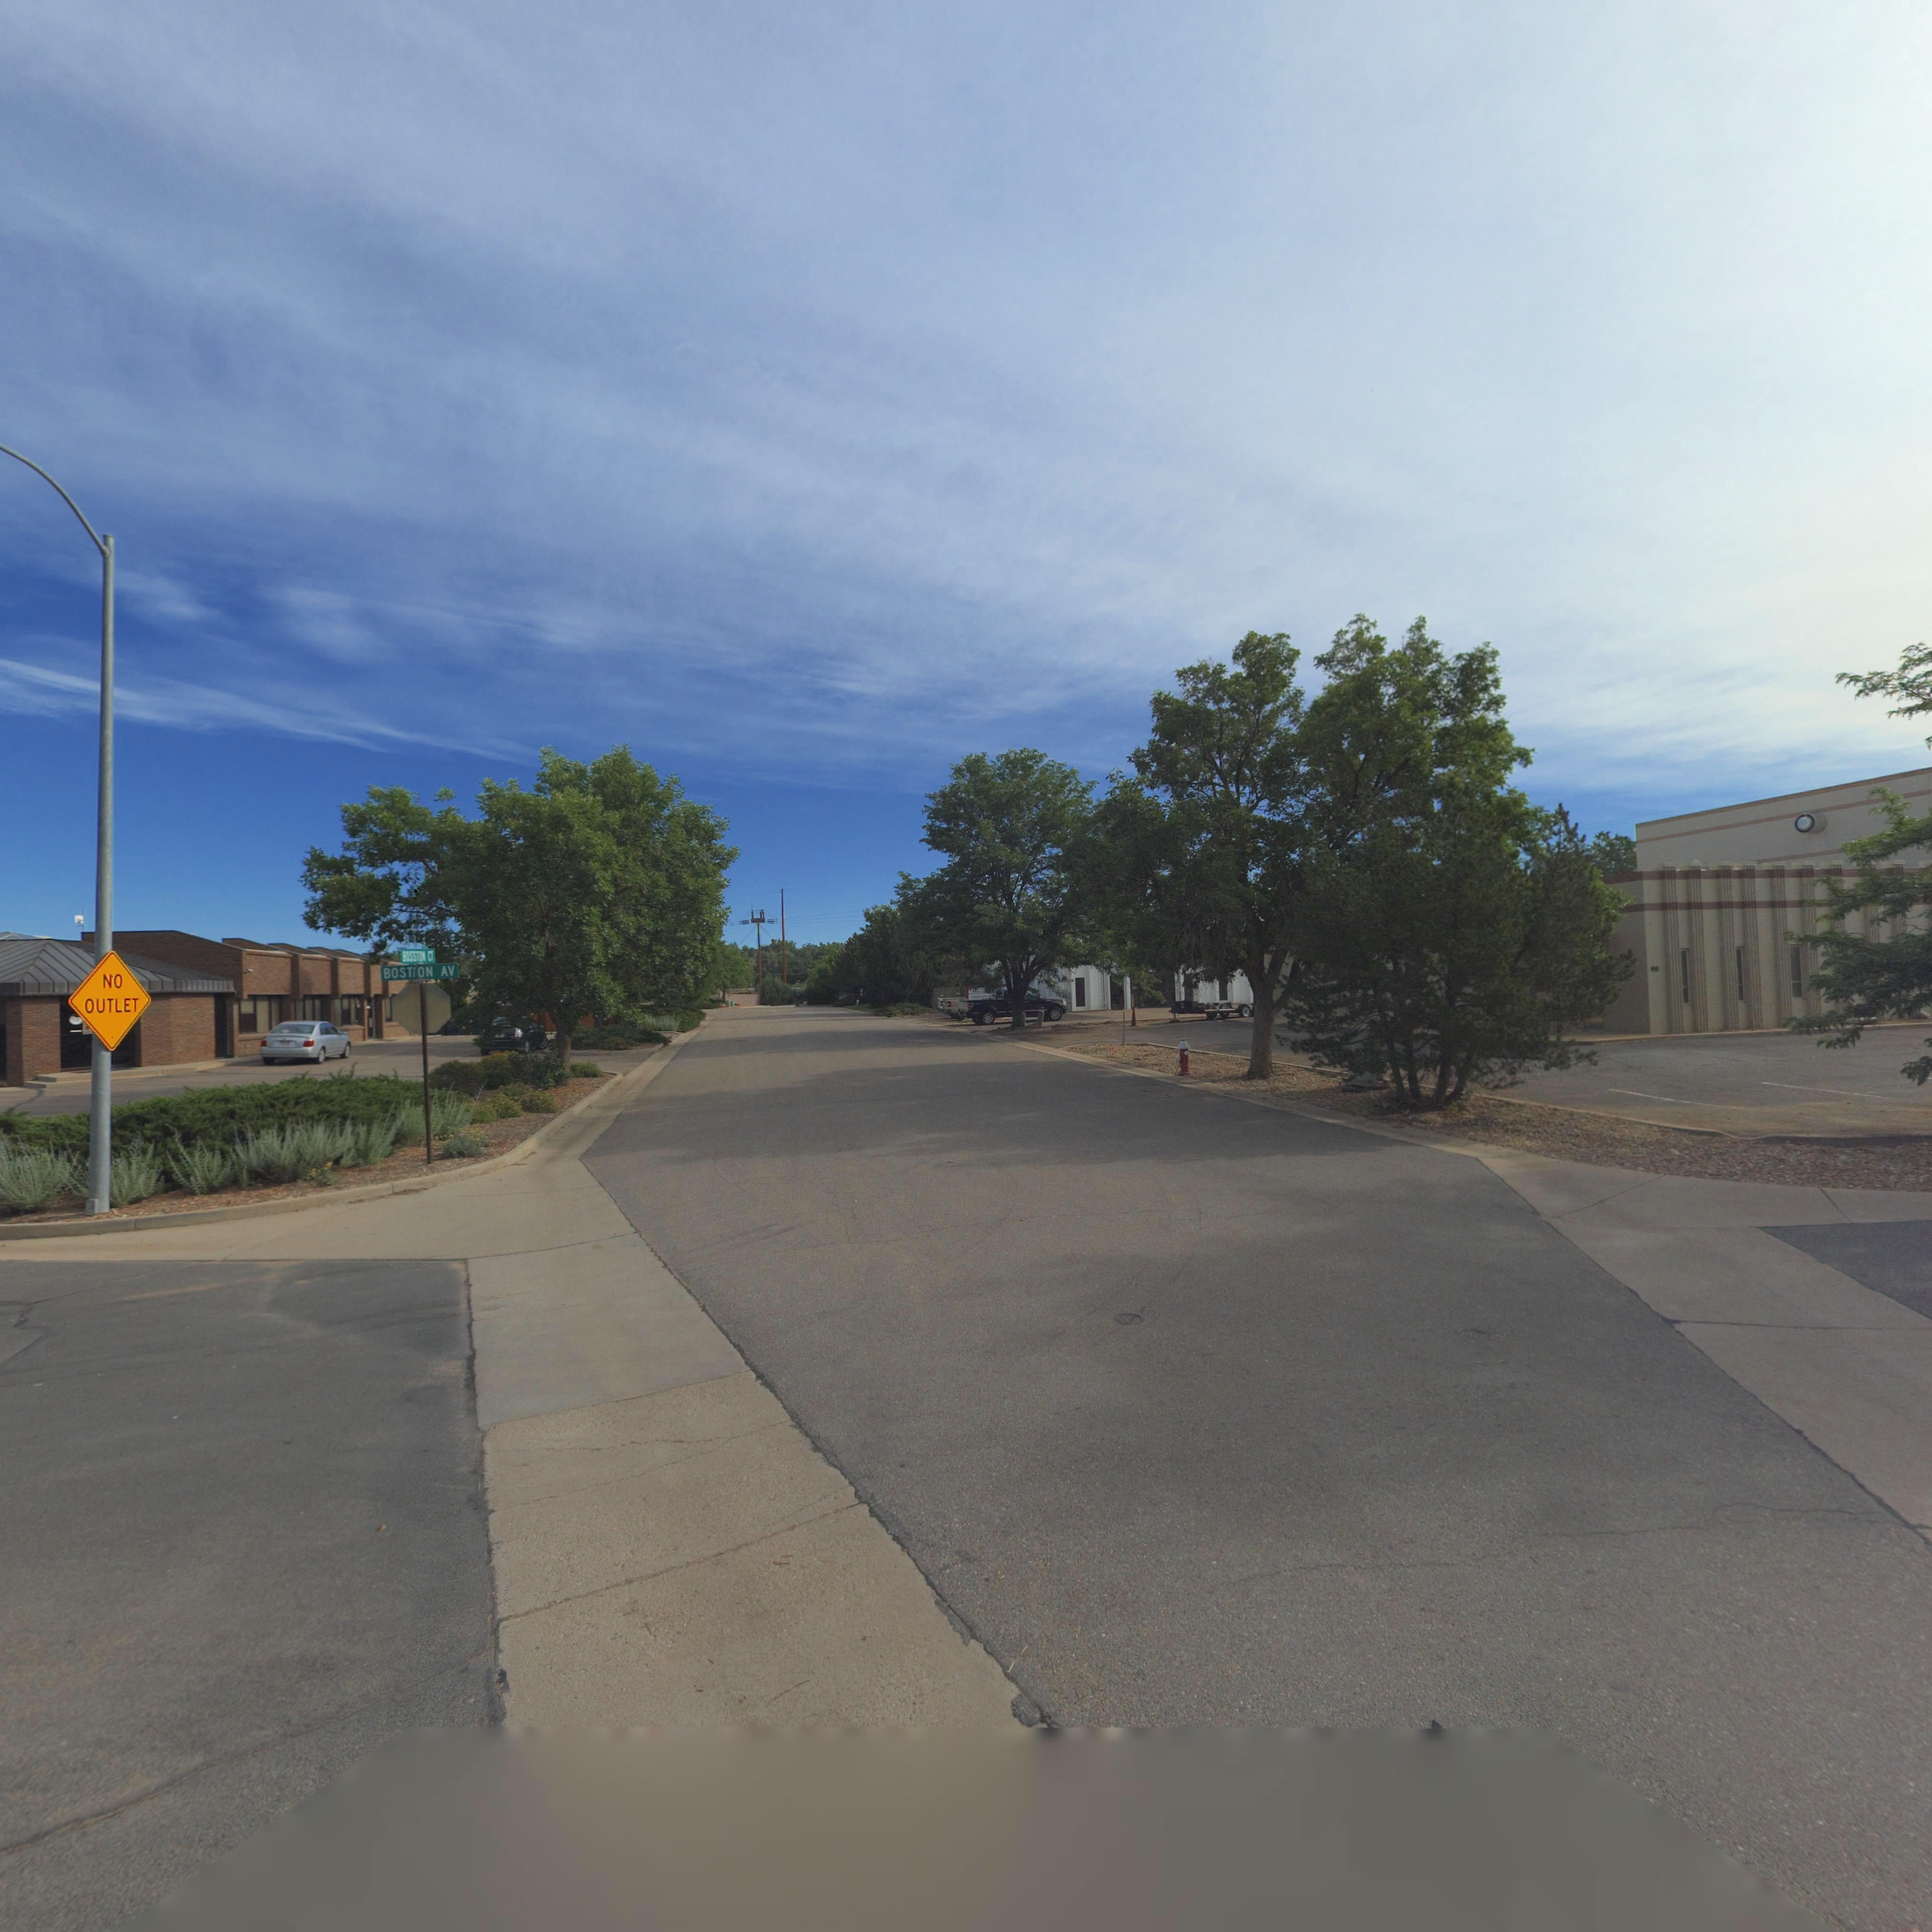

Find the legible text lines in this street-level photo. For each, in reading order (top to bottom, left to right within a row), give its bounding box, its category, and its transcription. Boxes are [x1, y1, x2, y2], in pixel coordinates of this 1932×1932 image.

[402, 950, 434, 962] StreetName: BOSSTON CT
[383, 965, 455, 979] StreetName: BOST*ON AV